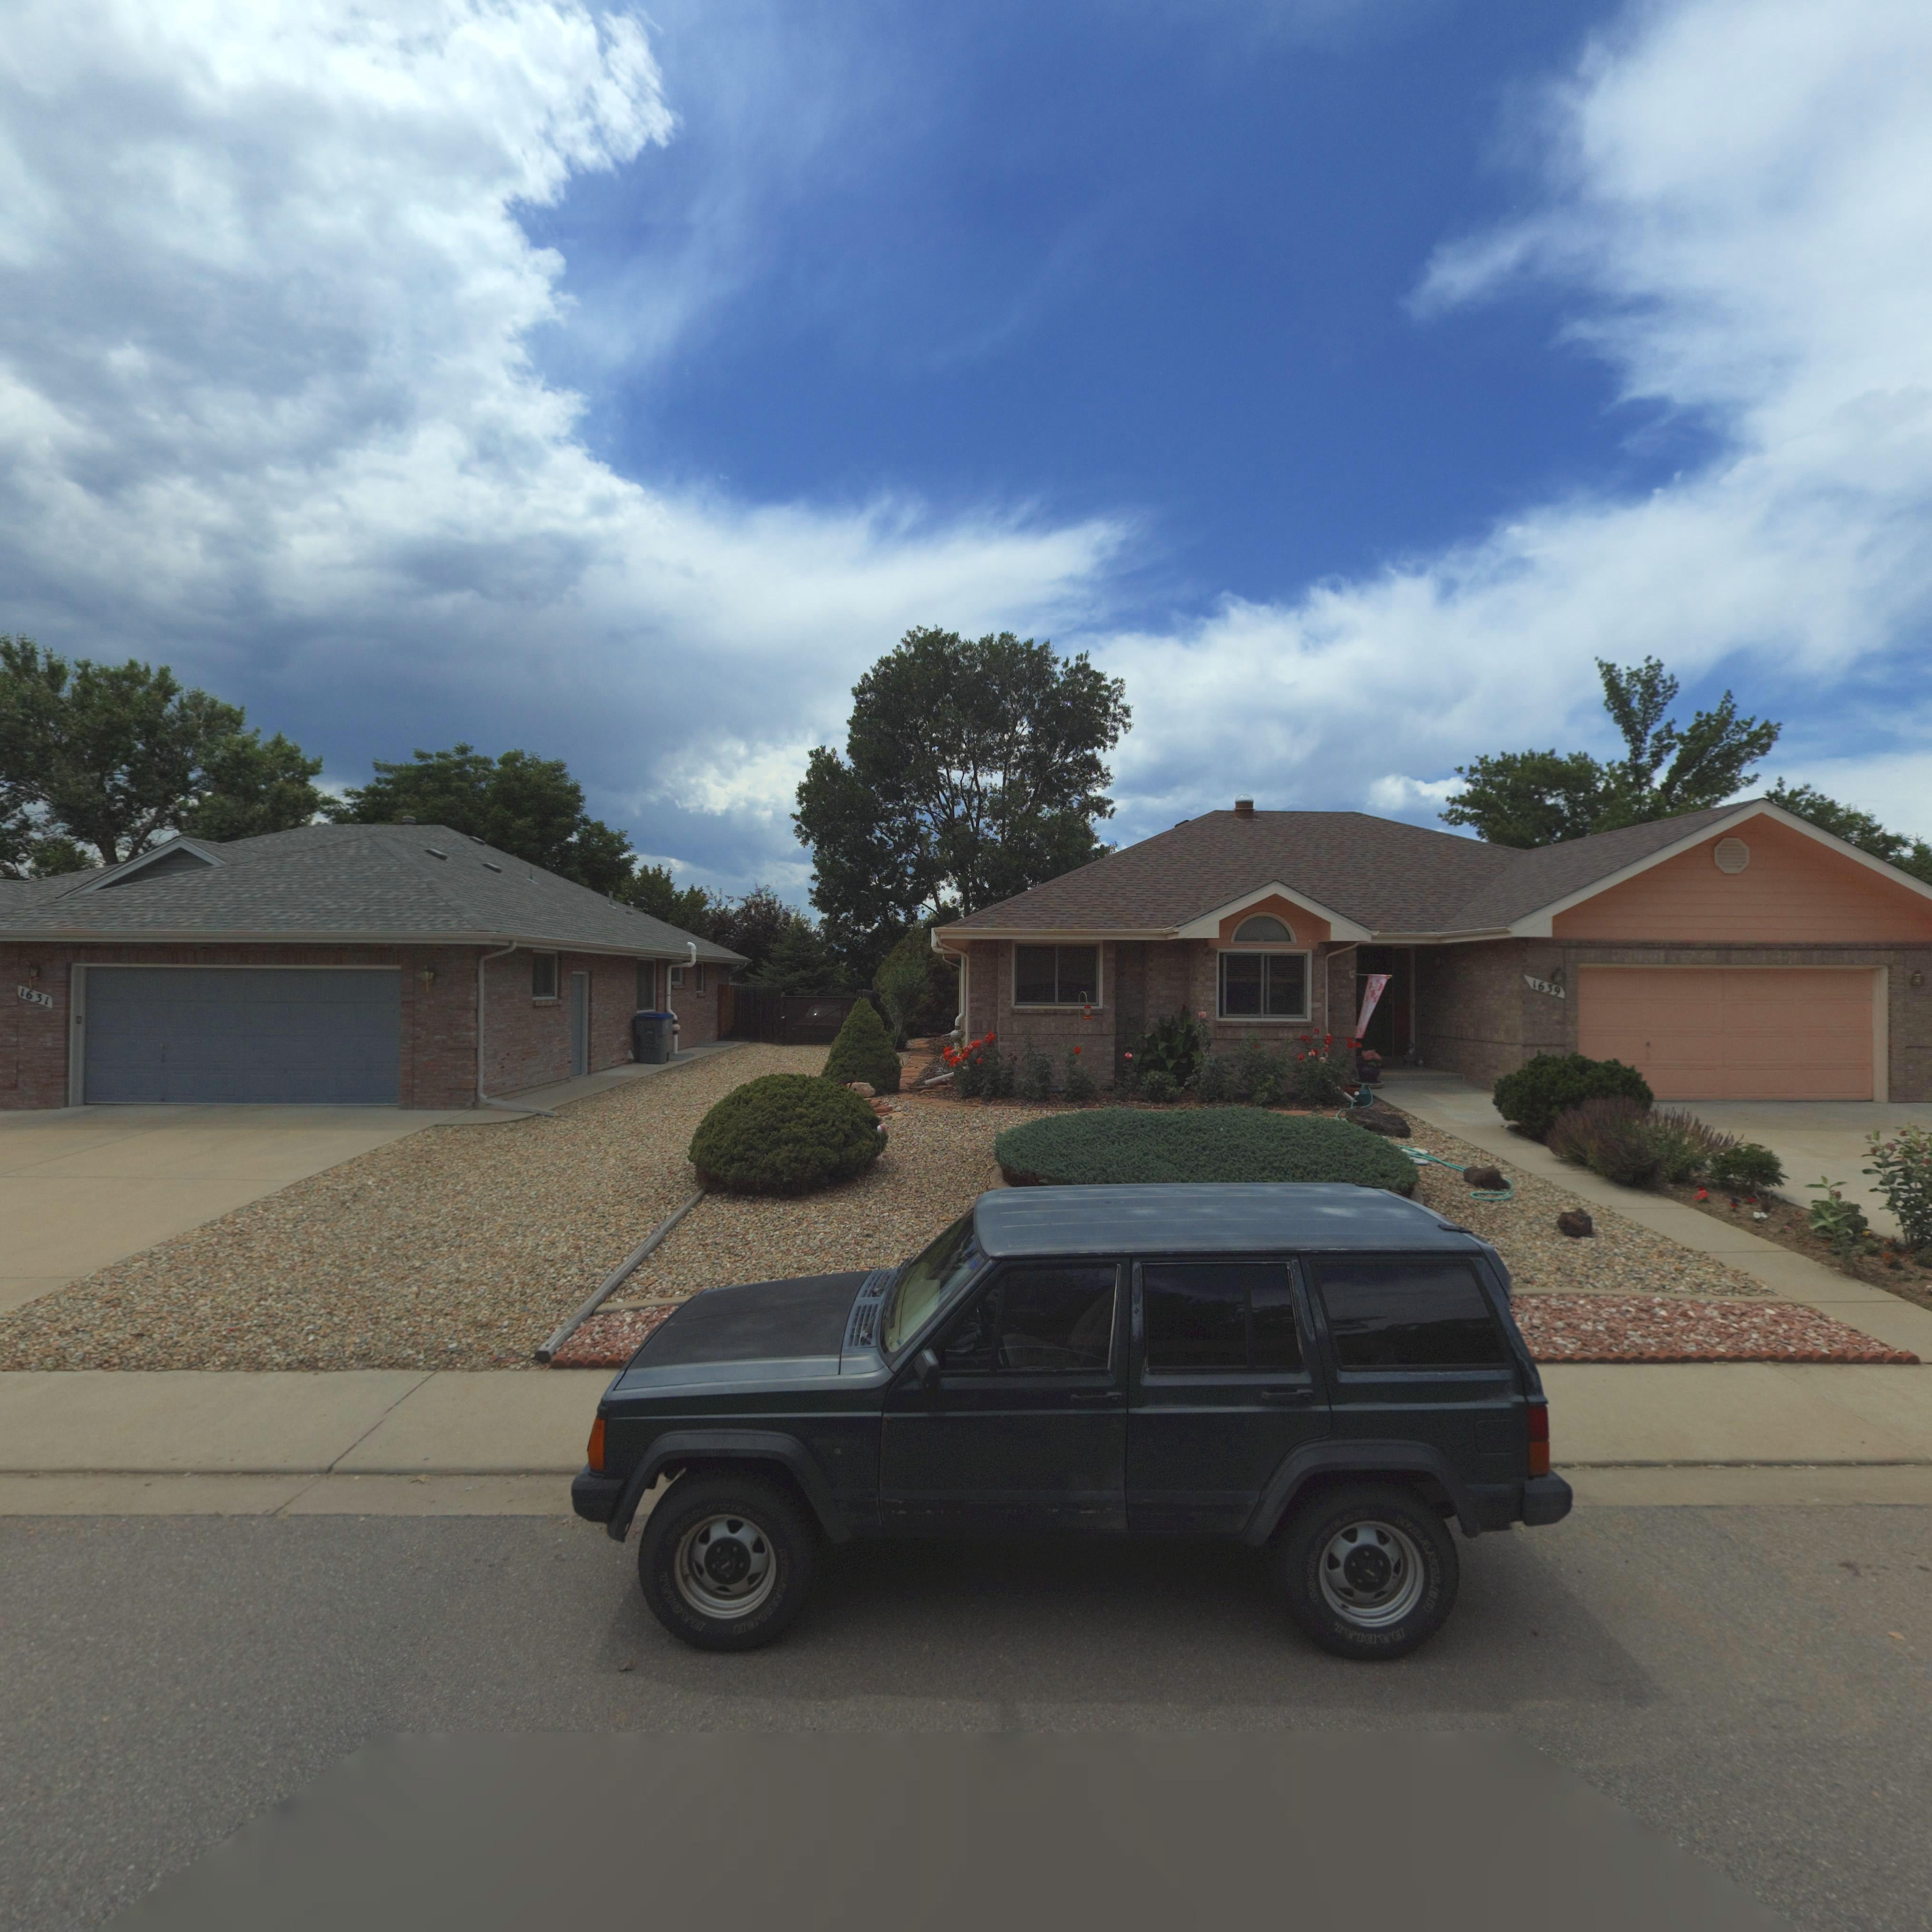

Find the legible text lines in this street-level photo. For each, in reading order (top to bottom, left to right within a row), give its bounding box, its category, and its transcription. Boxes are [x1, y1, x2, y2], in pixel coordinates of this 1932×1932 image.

[20, 986, 50, 1006] StreetNumber: 1631
[1531, 977, 1562, 997] StreetNumber: 1639